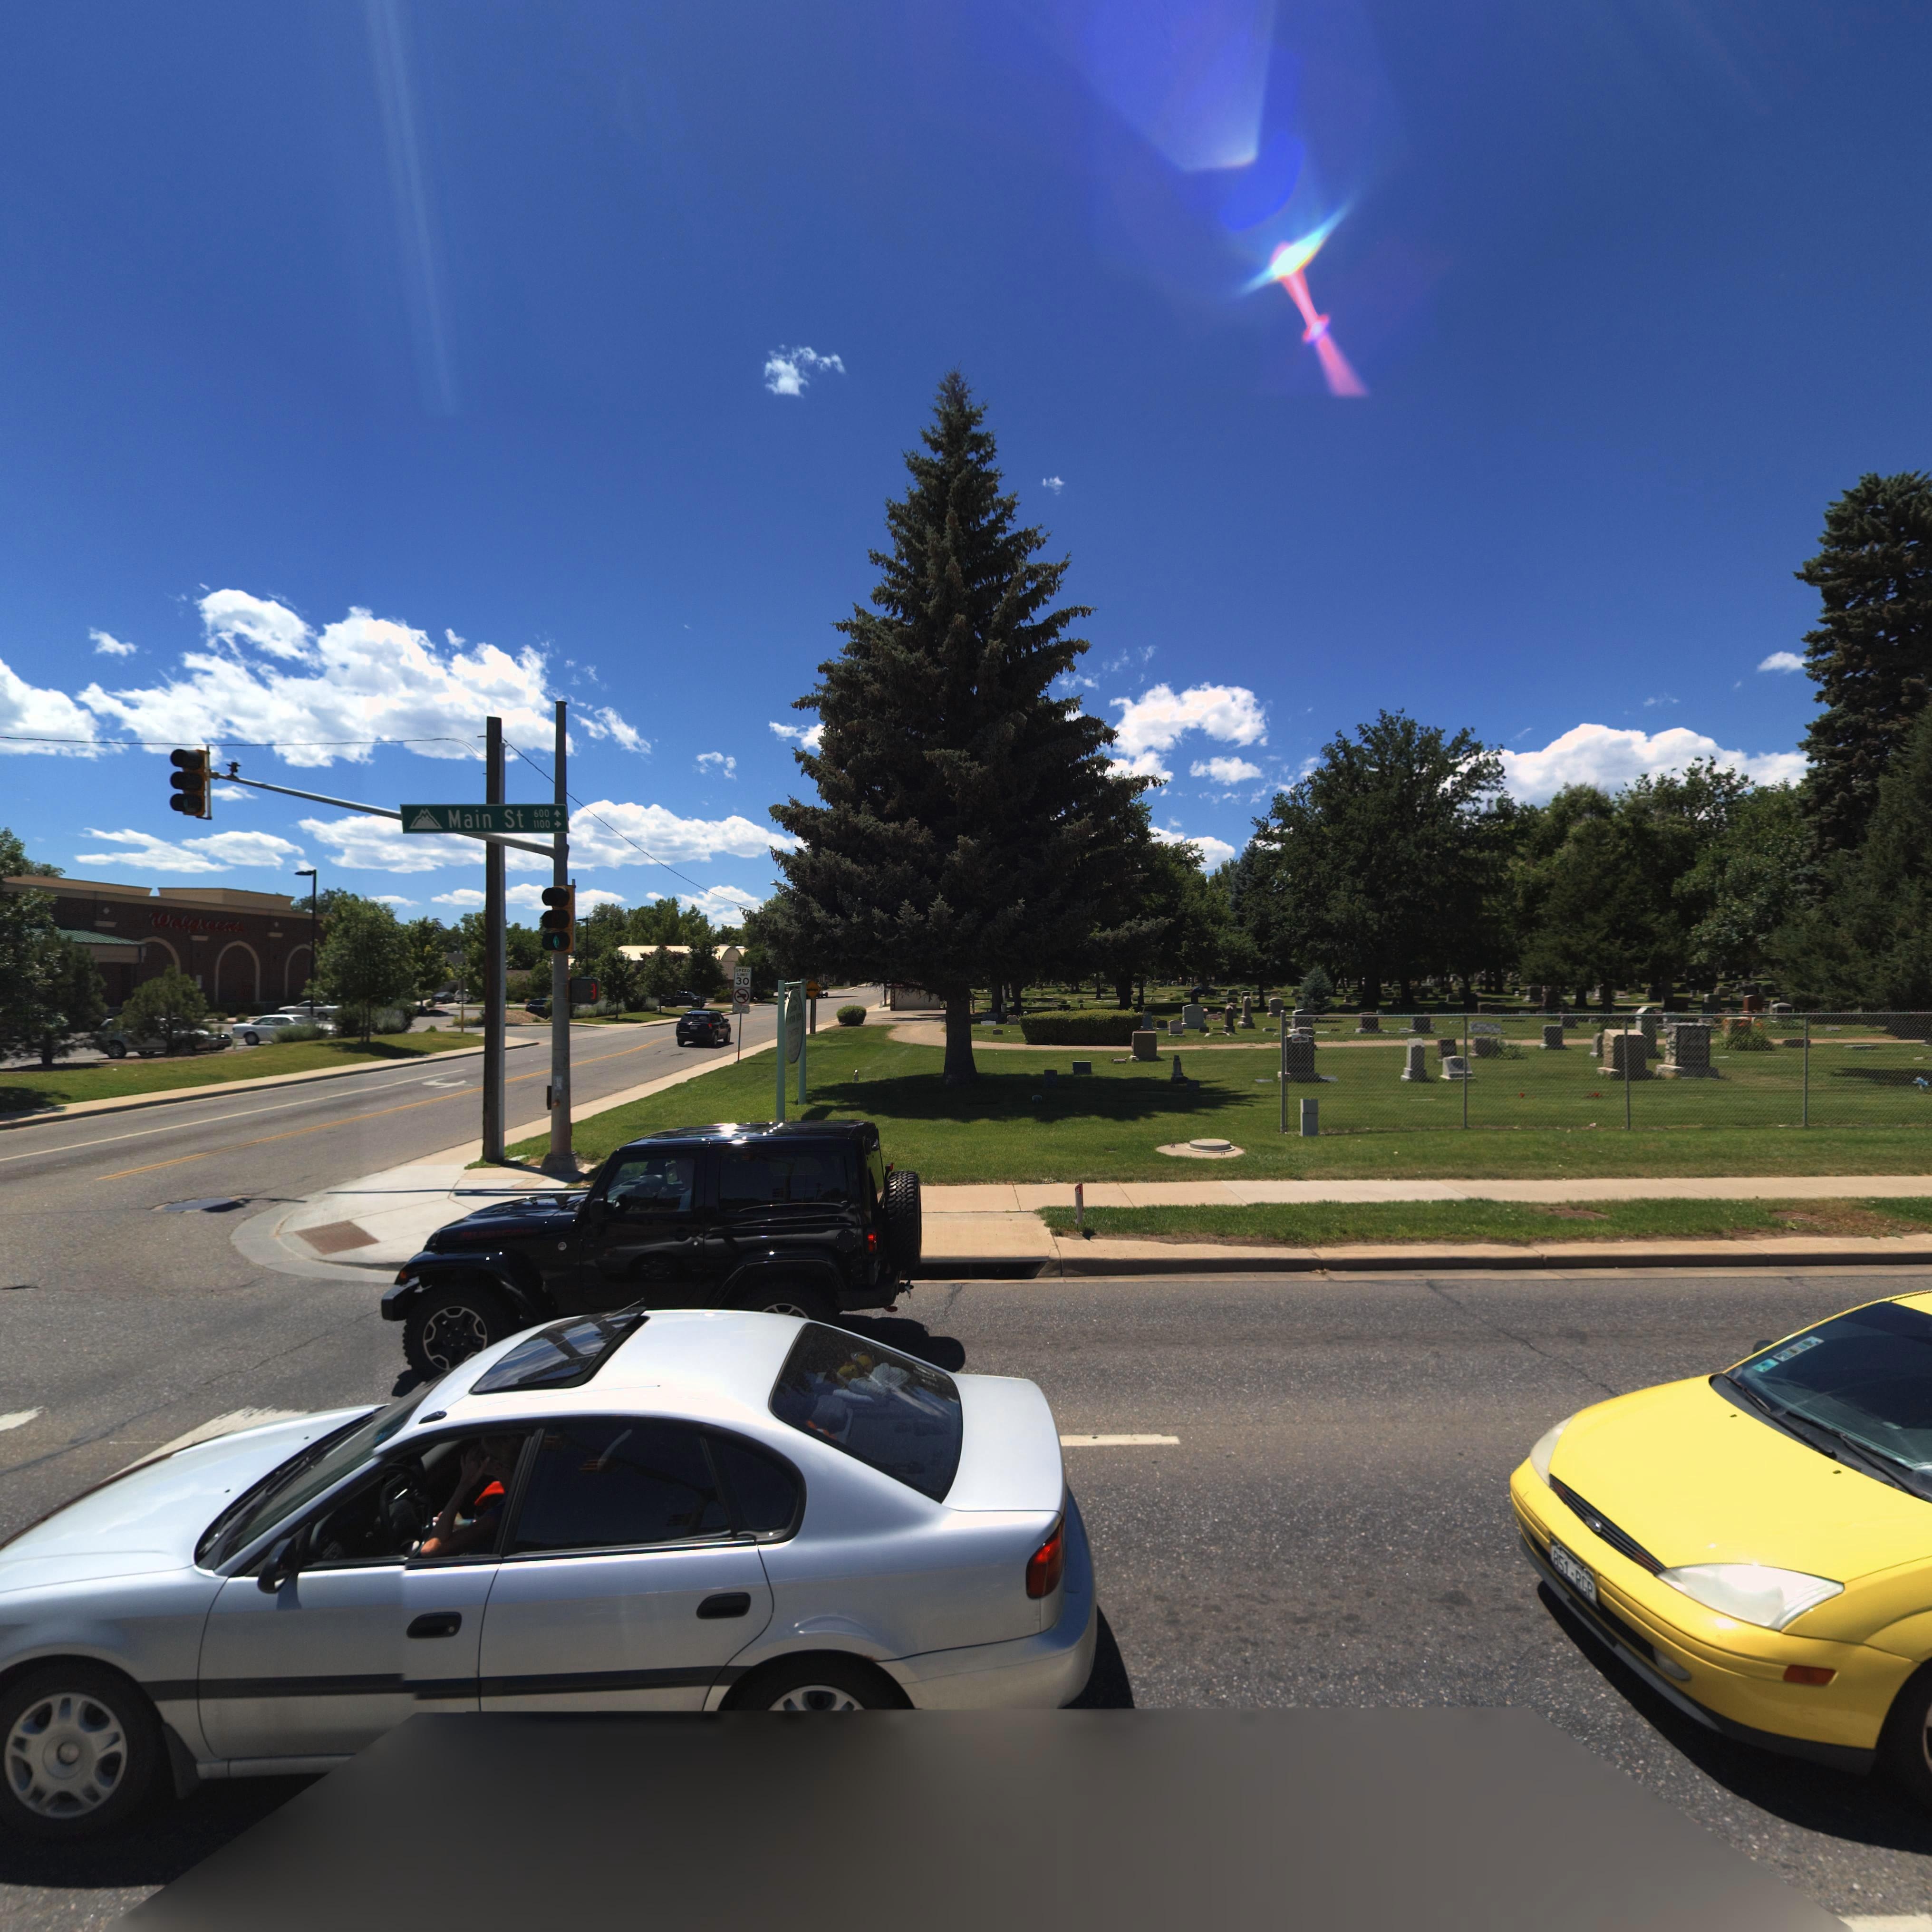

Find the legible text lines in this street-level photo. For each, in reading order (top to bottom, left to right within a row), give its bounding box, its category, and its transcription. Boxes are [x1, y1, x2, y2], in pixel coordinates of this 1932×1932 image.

[447, 809, 525, 829] StreetName: Main St
[533, 809, 550, 818] StreetNumber: 600
[532, 820, 562, 829] StreetNumberRange: 1100->
[149, 910, 248, 933] BusinessName: Walgreens